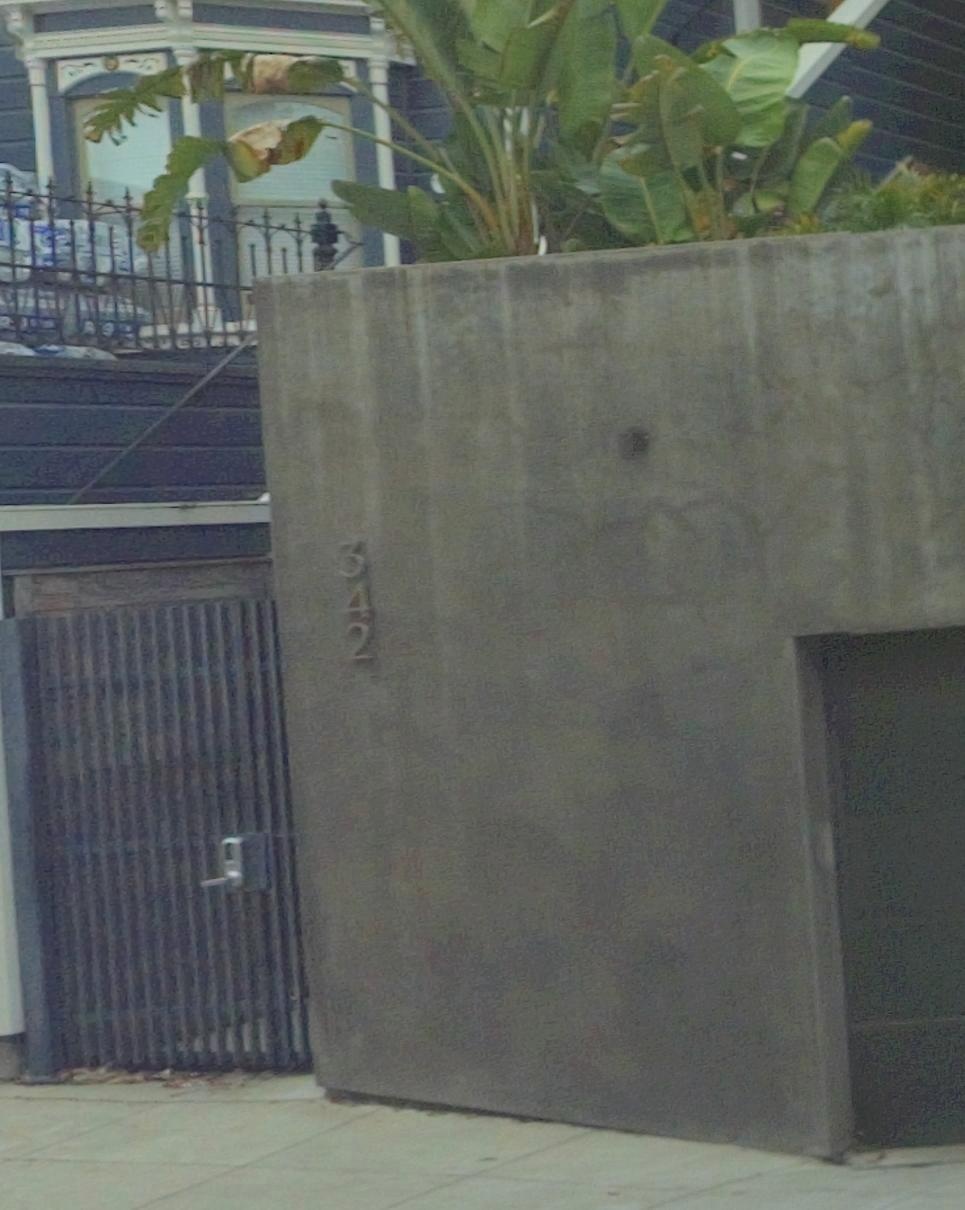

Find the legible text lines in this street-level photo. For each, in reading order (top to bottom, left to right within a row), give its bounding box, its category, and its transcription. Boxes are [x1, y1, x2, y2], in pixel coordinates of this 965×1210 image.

[335, 535, 379, 665] StreetNumber: 342